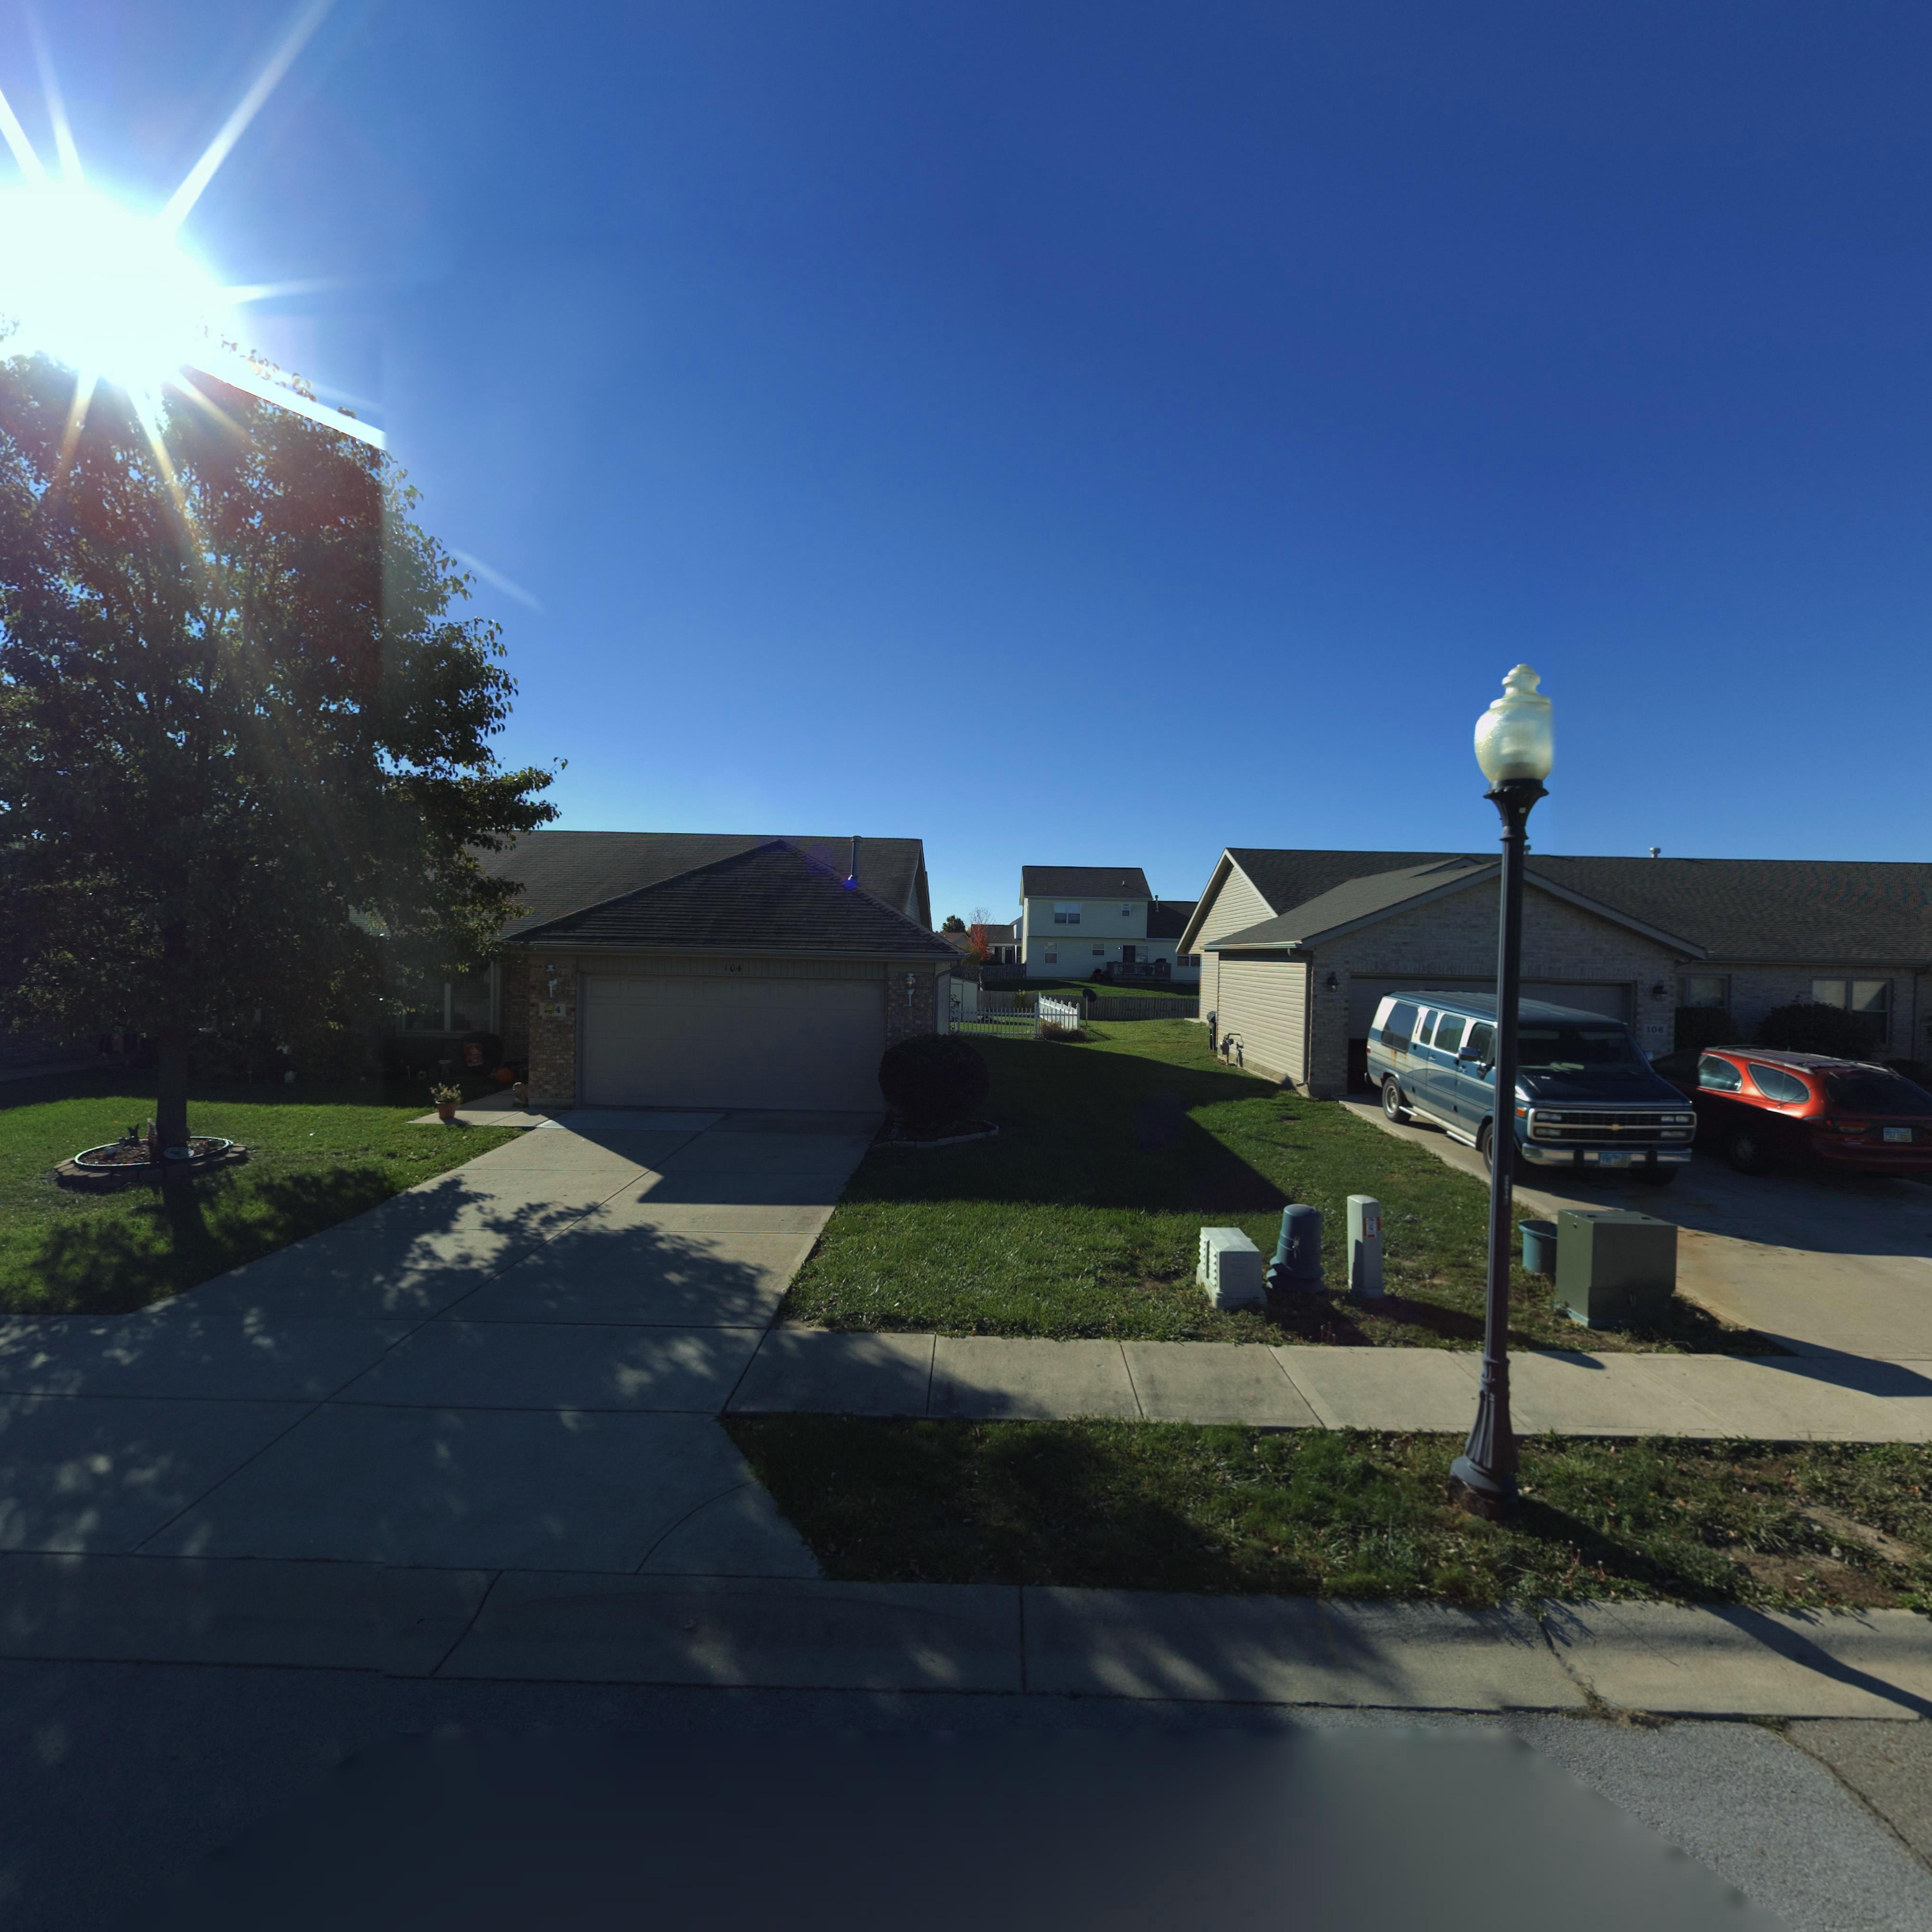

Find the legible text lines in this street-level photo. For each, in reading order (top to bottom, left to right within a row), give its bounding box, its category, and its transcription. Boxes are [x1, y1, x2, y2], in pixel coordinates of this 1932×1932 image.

[724, 963, 743, 973] StreetNumber: 104
[555, 1005, 561, 1014] StreetNumber: 4
[1645, 1025, 1664, 1034] StreetNumber: 106